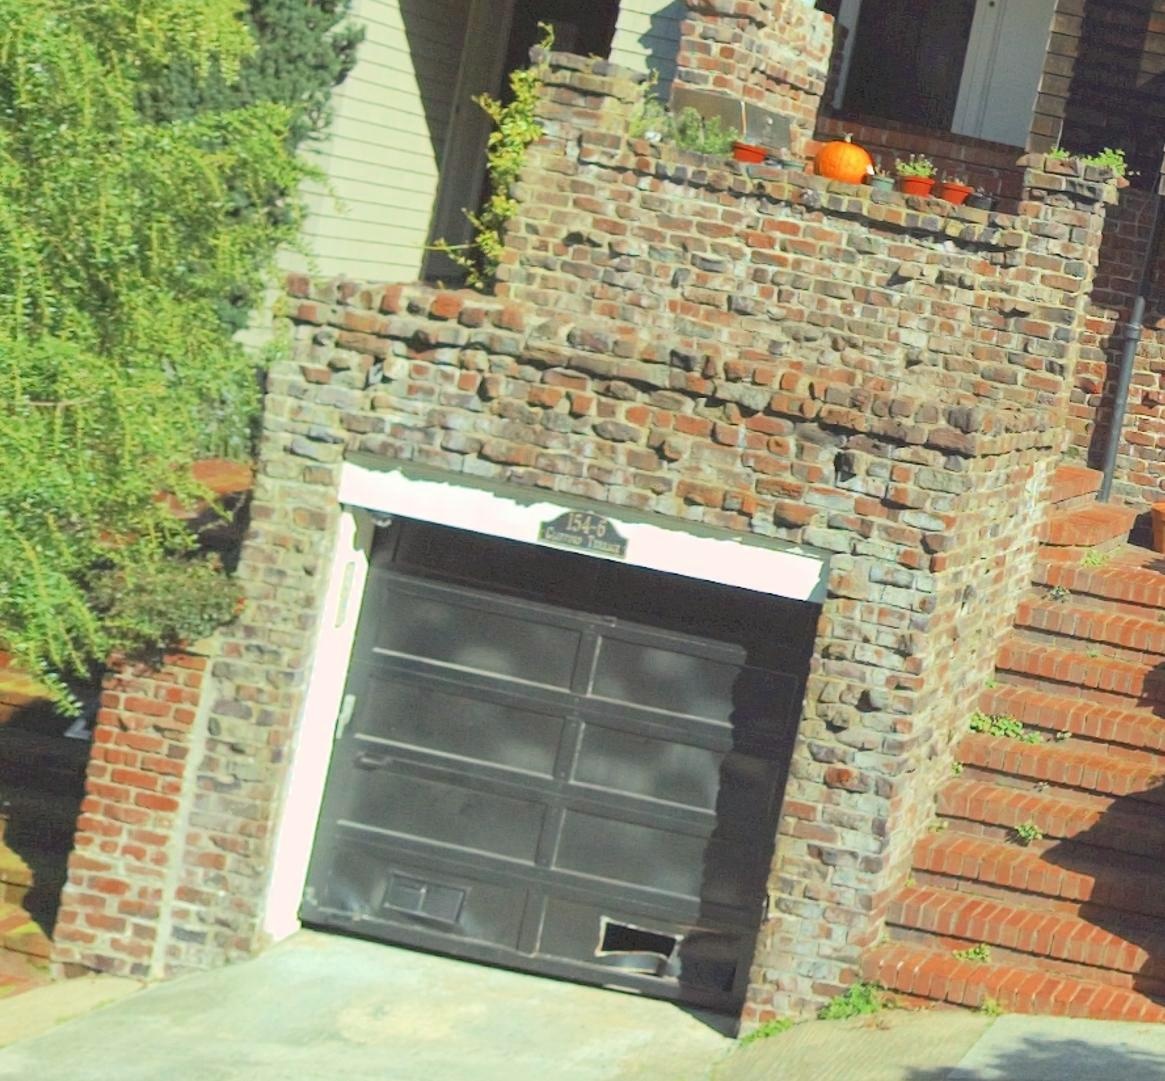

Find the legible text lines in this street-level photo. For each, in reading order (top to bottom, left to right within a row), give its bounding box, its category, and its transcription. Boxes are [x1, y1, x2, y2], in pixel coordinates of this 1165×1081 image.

[565, 511, 594, 535] StreetNumber: 154
[542, 524, 624, 556] None: C***** TERRACE
[593, 516, 609, 540] StreetNumber: 6